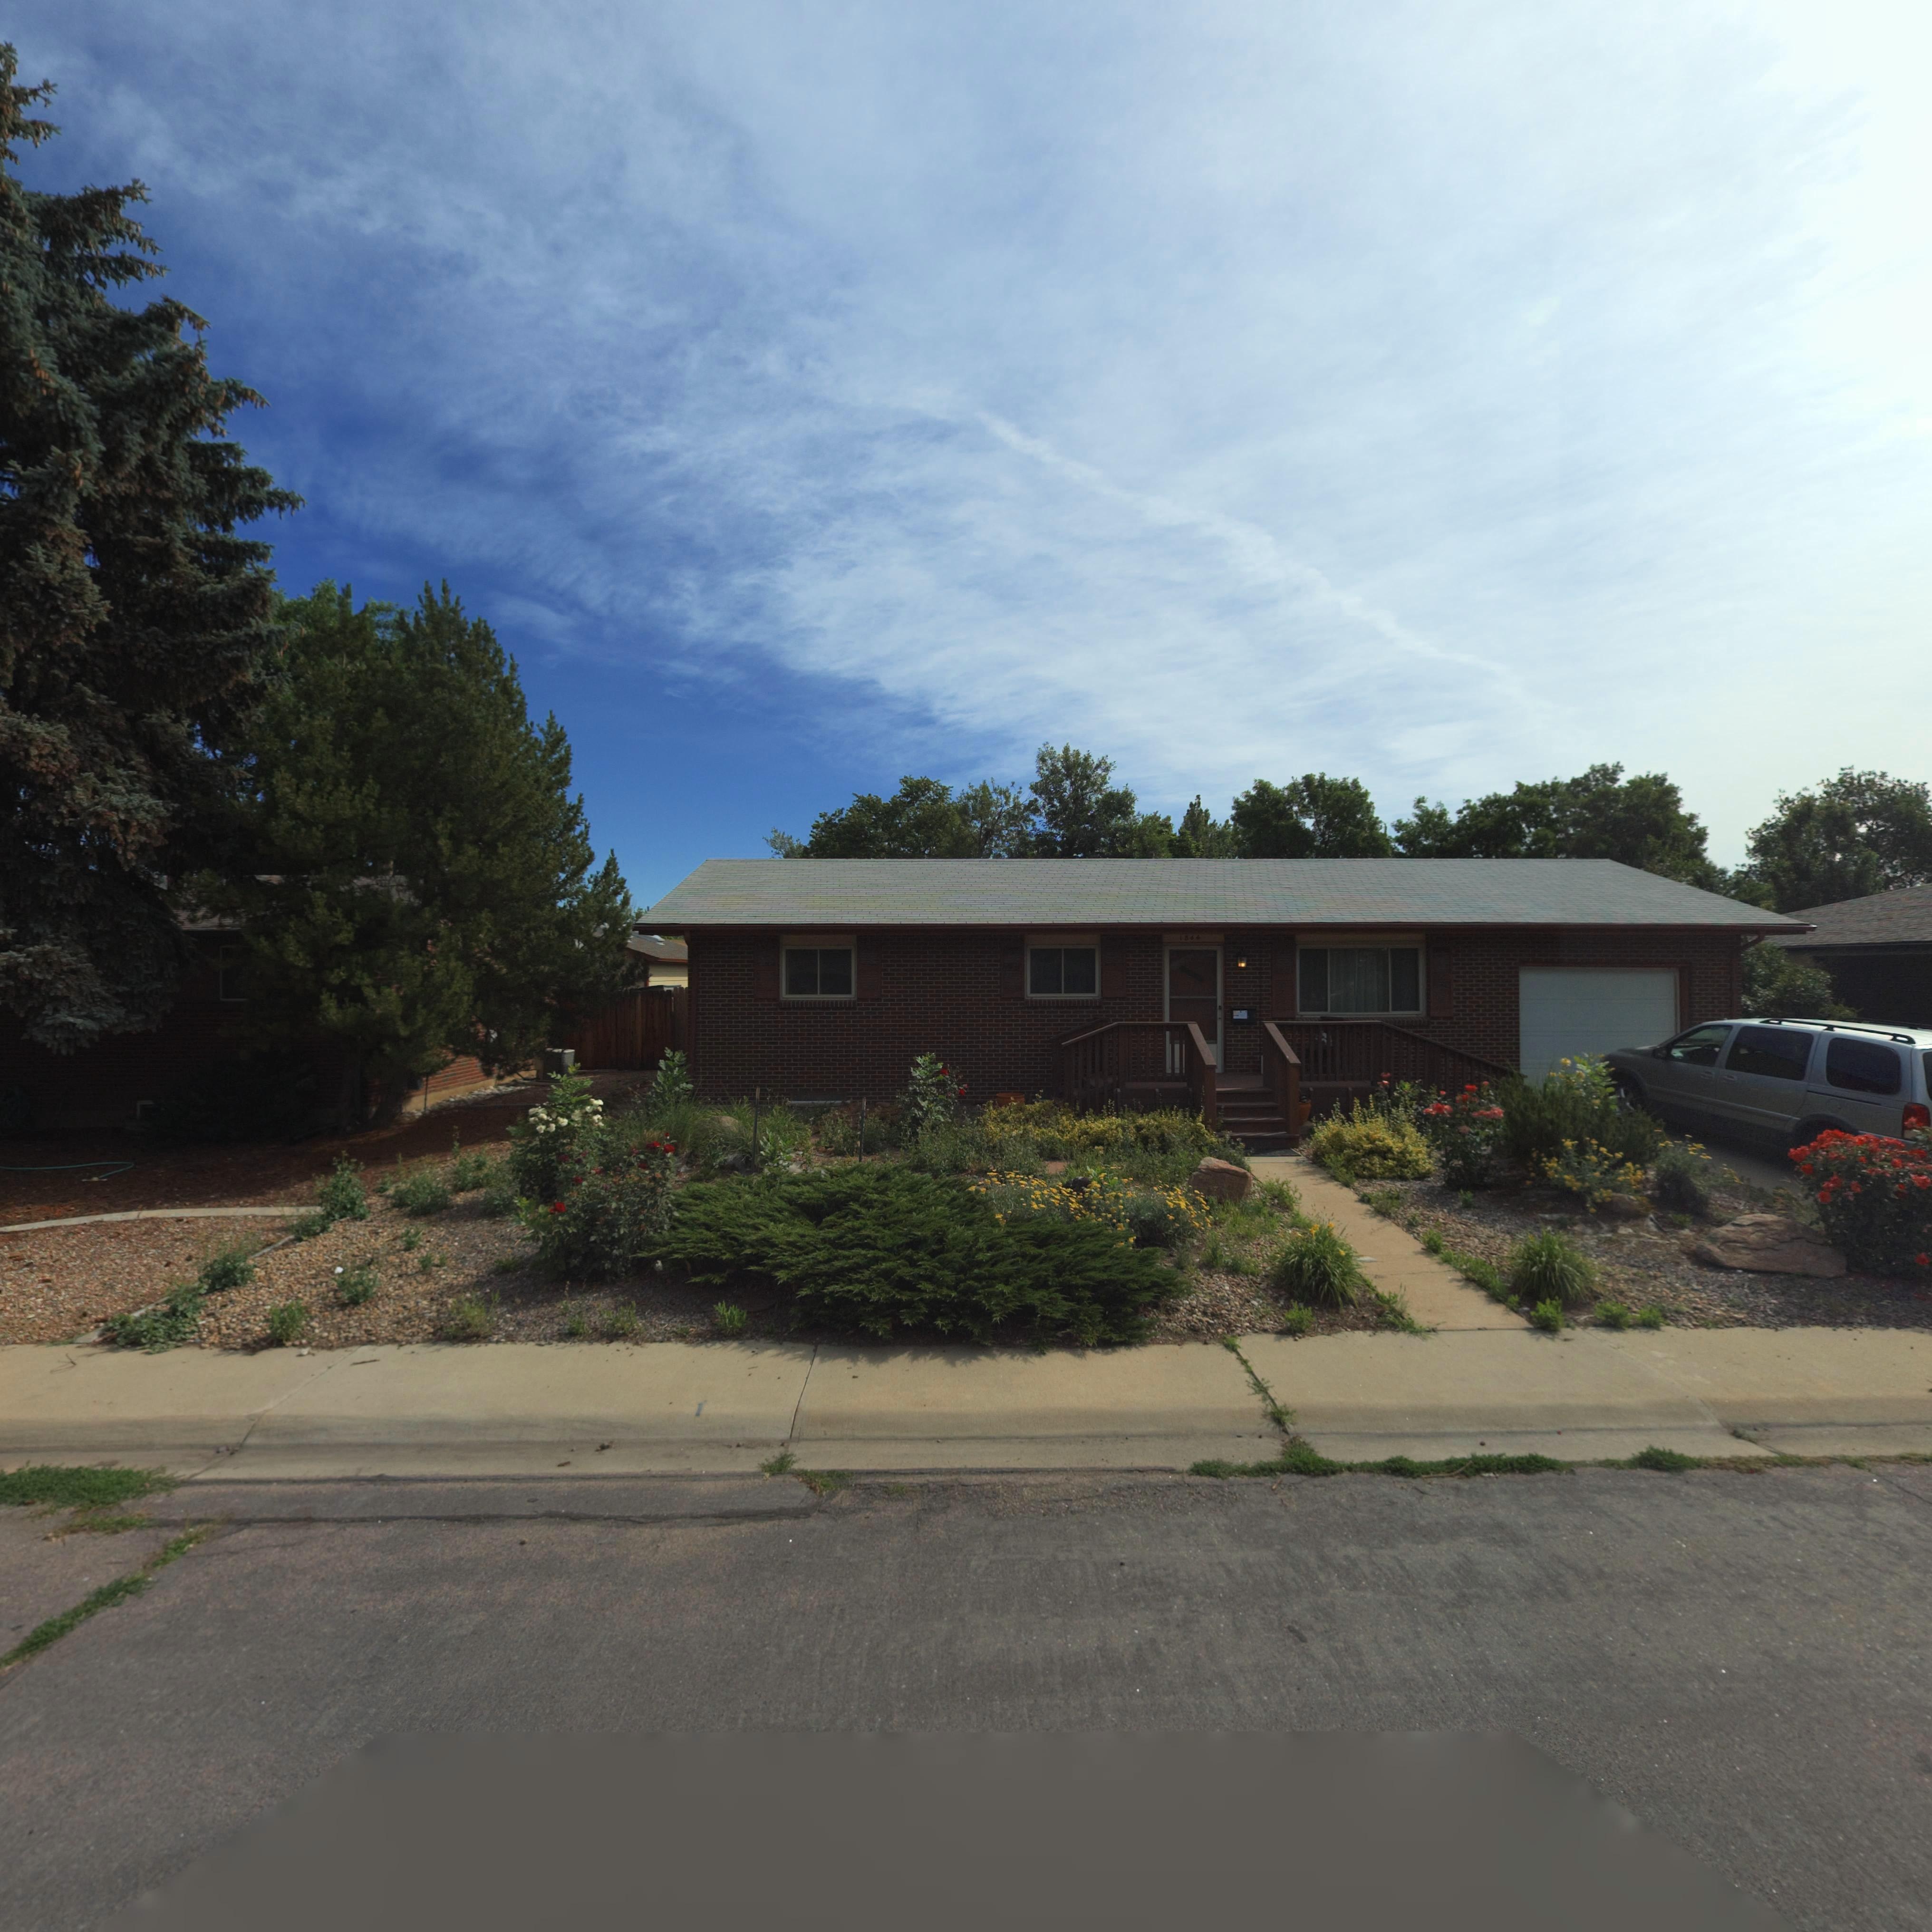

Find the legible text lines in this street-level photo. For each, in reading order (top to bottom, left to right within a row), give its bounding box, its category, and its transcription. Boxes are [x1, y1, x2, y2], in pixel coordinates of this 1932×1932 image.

[1179, 934, 1200, 941] StreetNumber: 1844